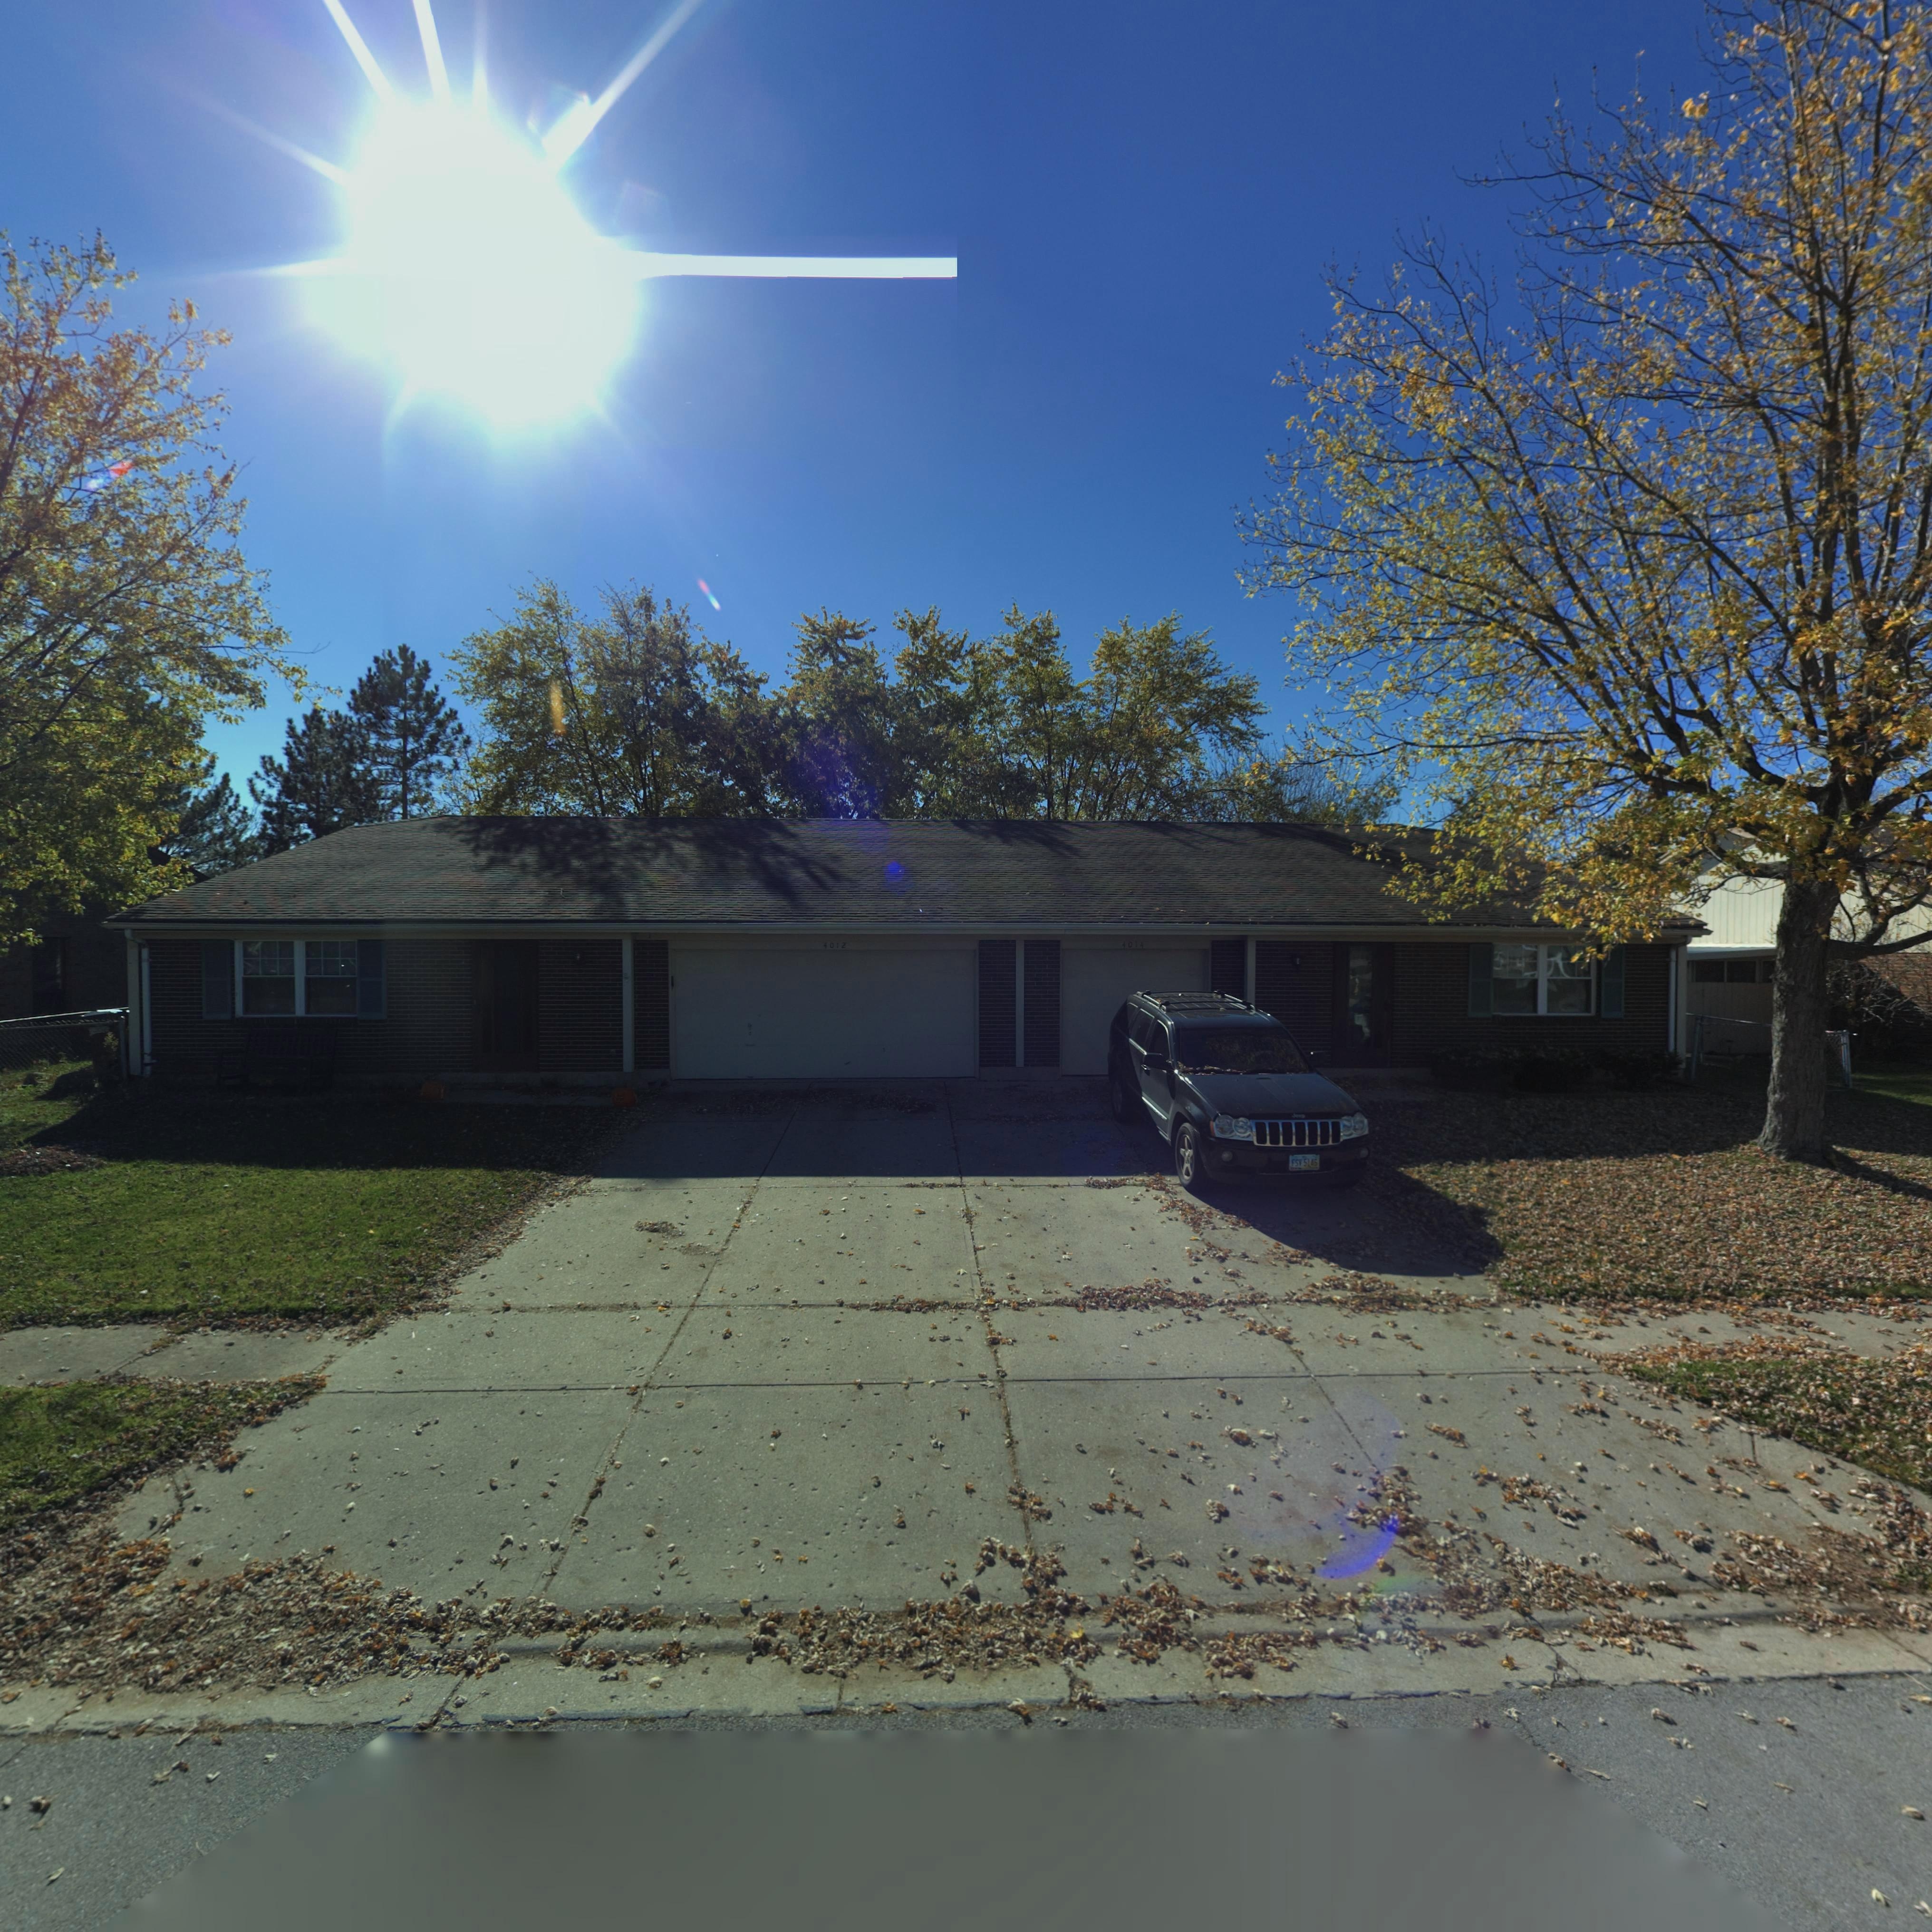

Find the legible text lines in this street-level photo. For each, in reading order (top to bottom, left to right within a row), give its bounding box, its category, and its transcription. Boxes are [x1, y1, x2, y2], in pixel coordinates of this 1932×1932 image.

[822, 941, 846, 949] StreetNumber: 4012
[1121, 941, 1144, 948] StreetNumber: 4014